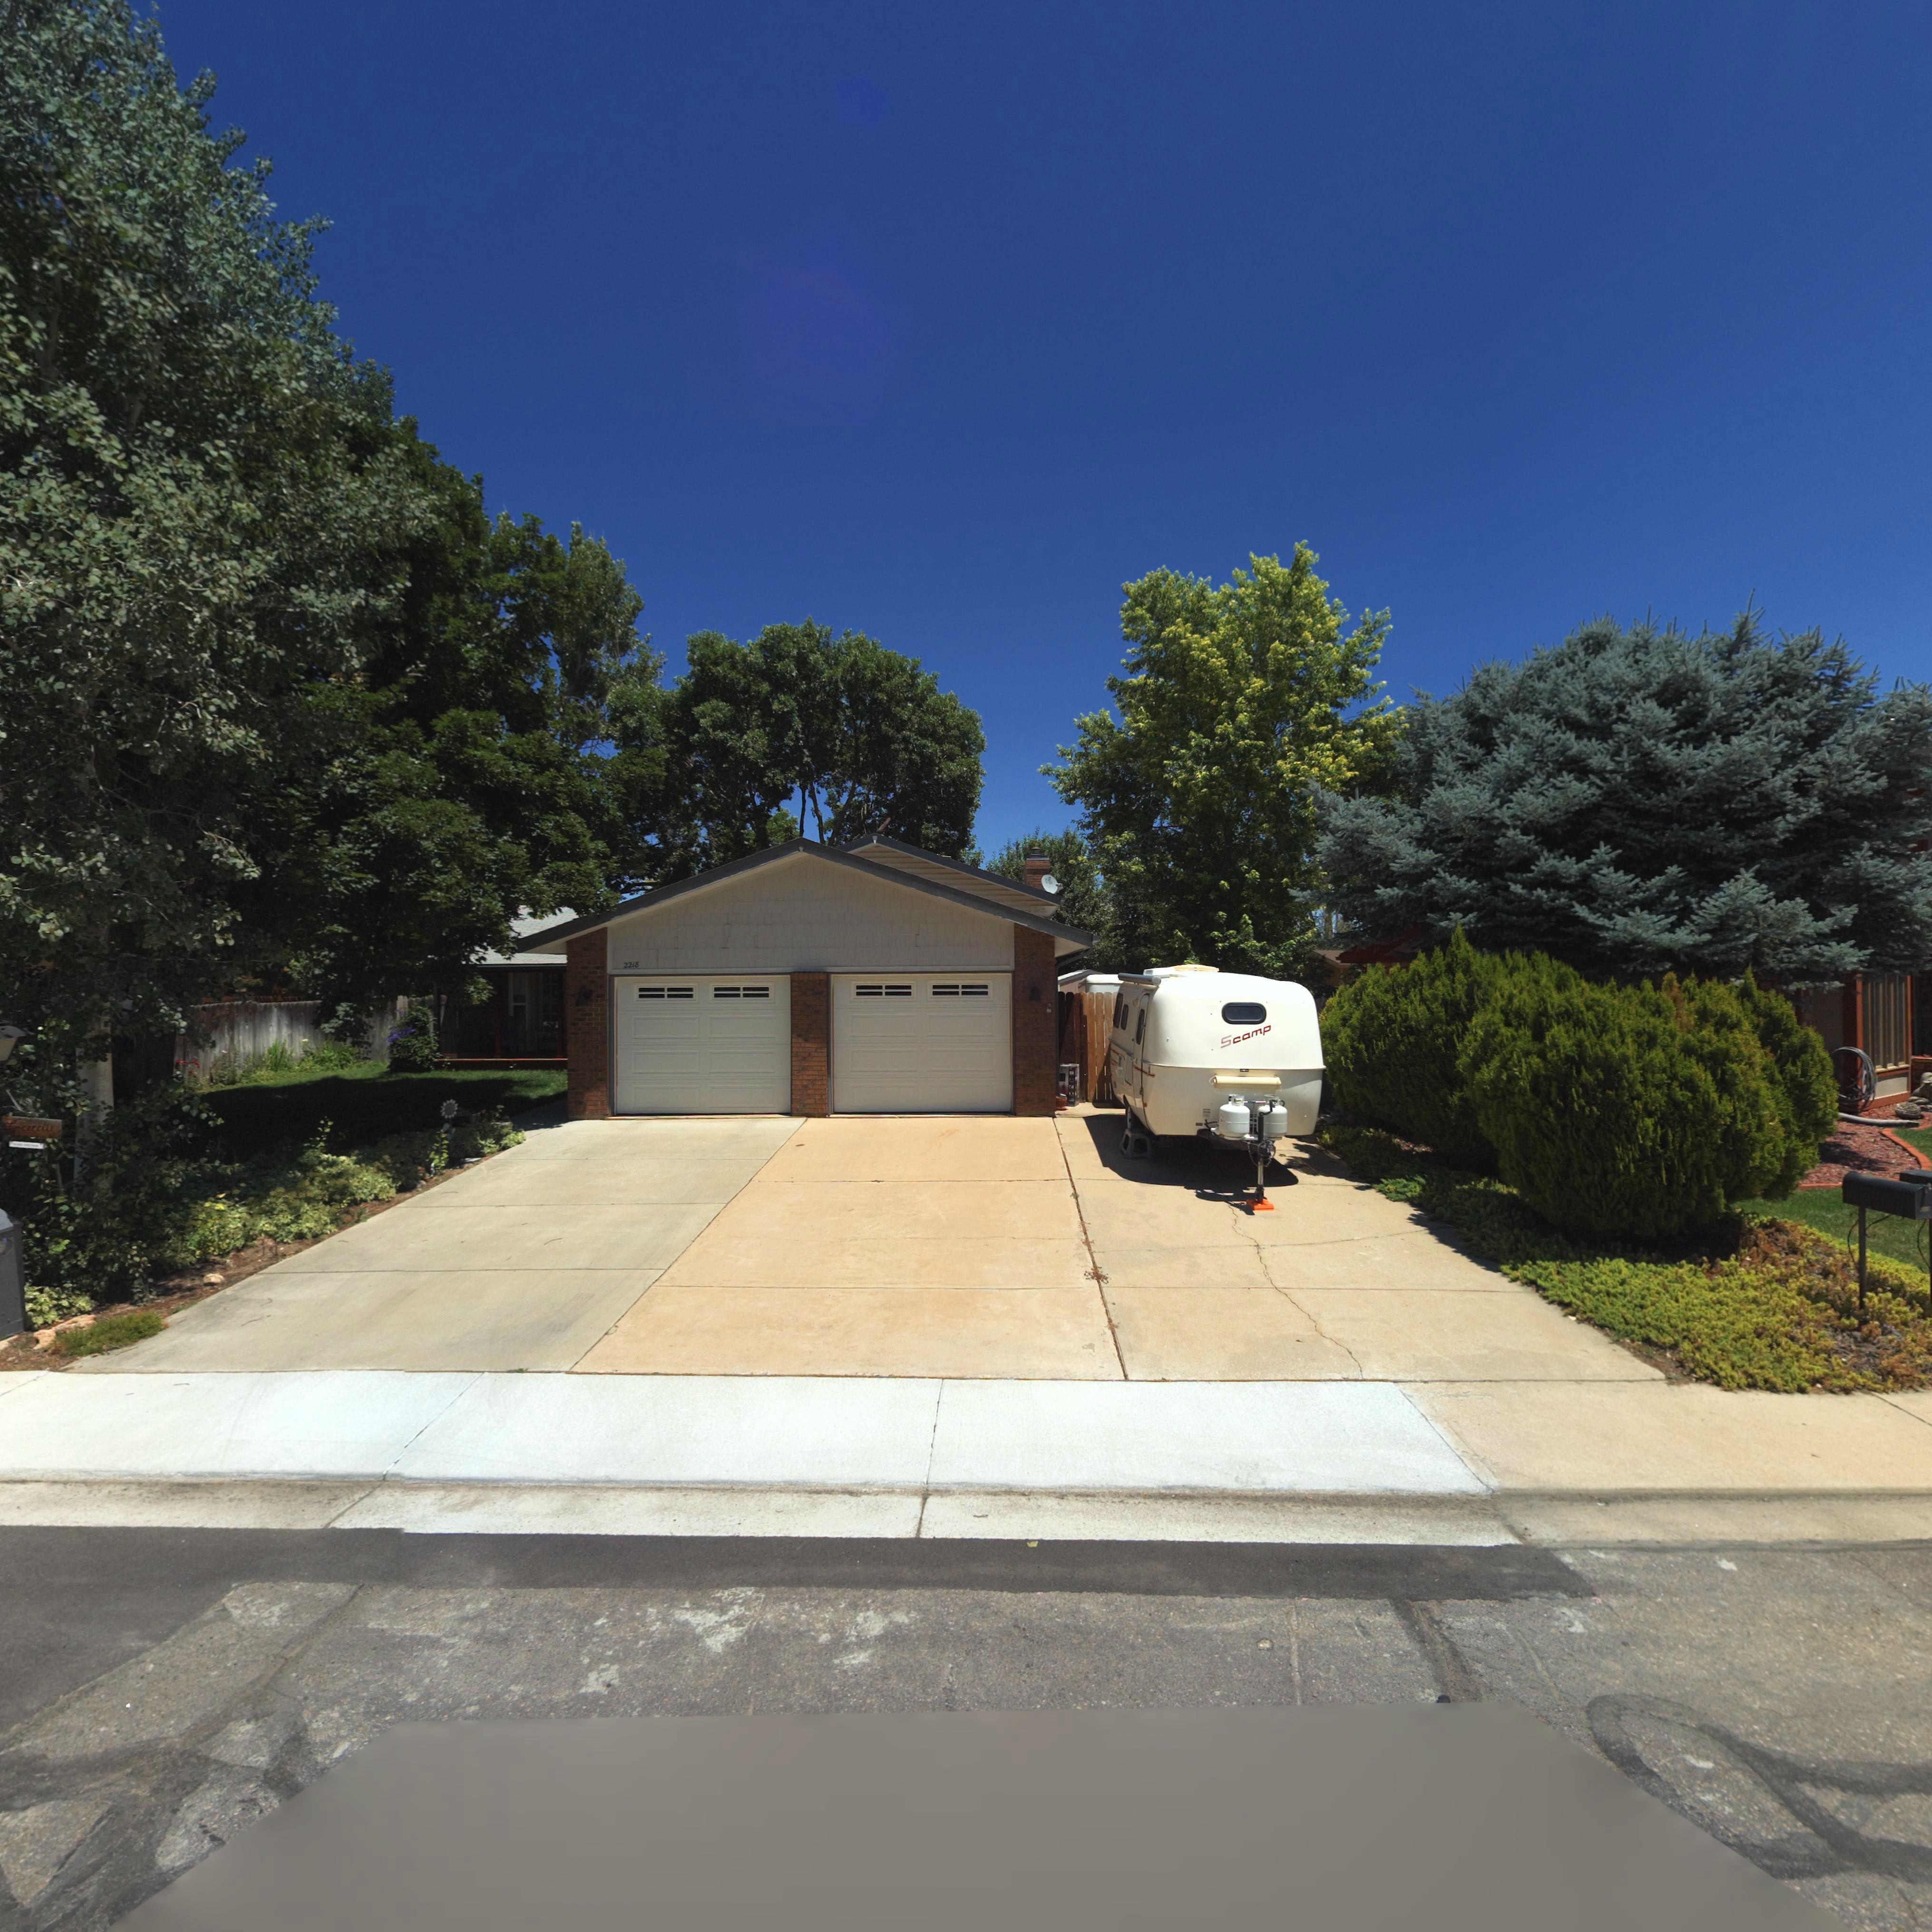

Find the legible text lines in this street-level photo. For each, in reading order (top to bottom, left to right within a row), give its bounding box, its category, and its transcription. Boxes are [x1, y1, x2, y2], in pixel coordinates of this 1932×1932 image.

[623, 960, 639, 968] StreetNumber: 2218